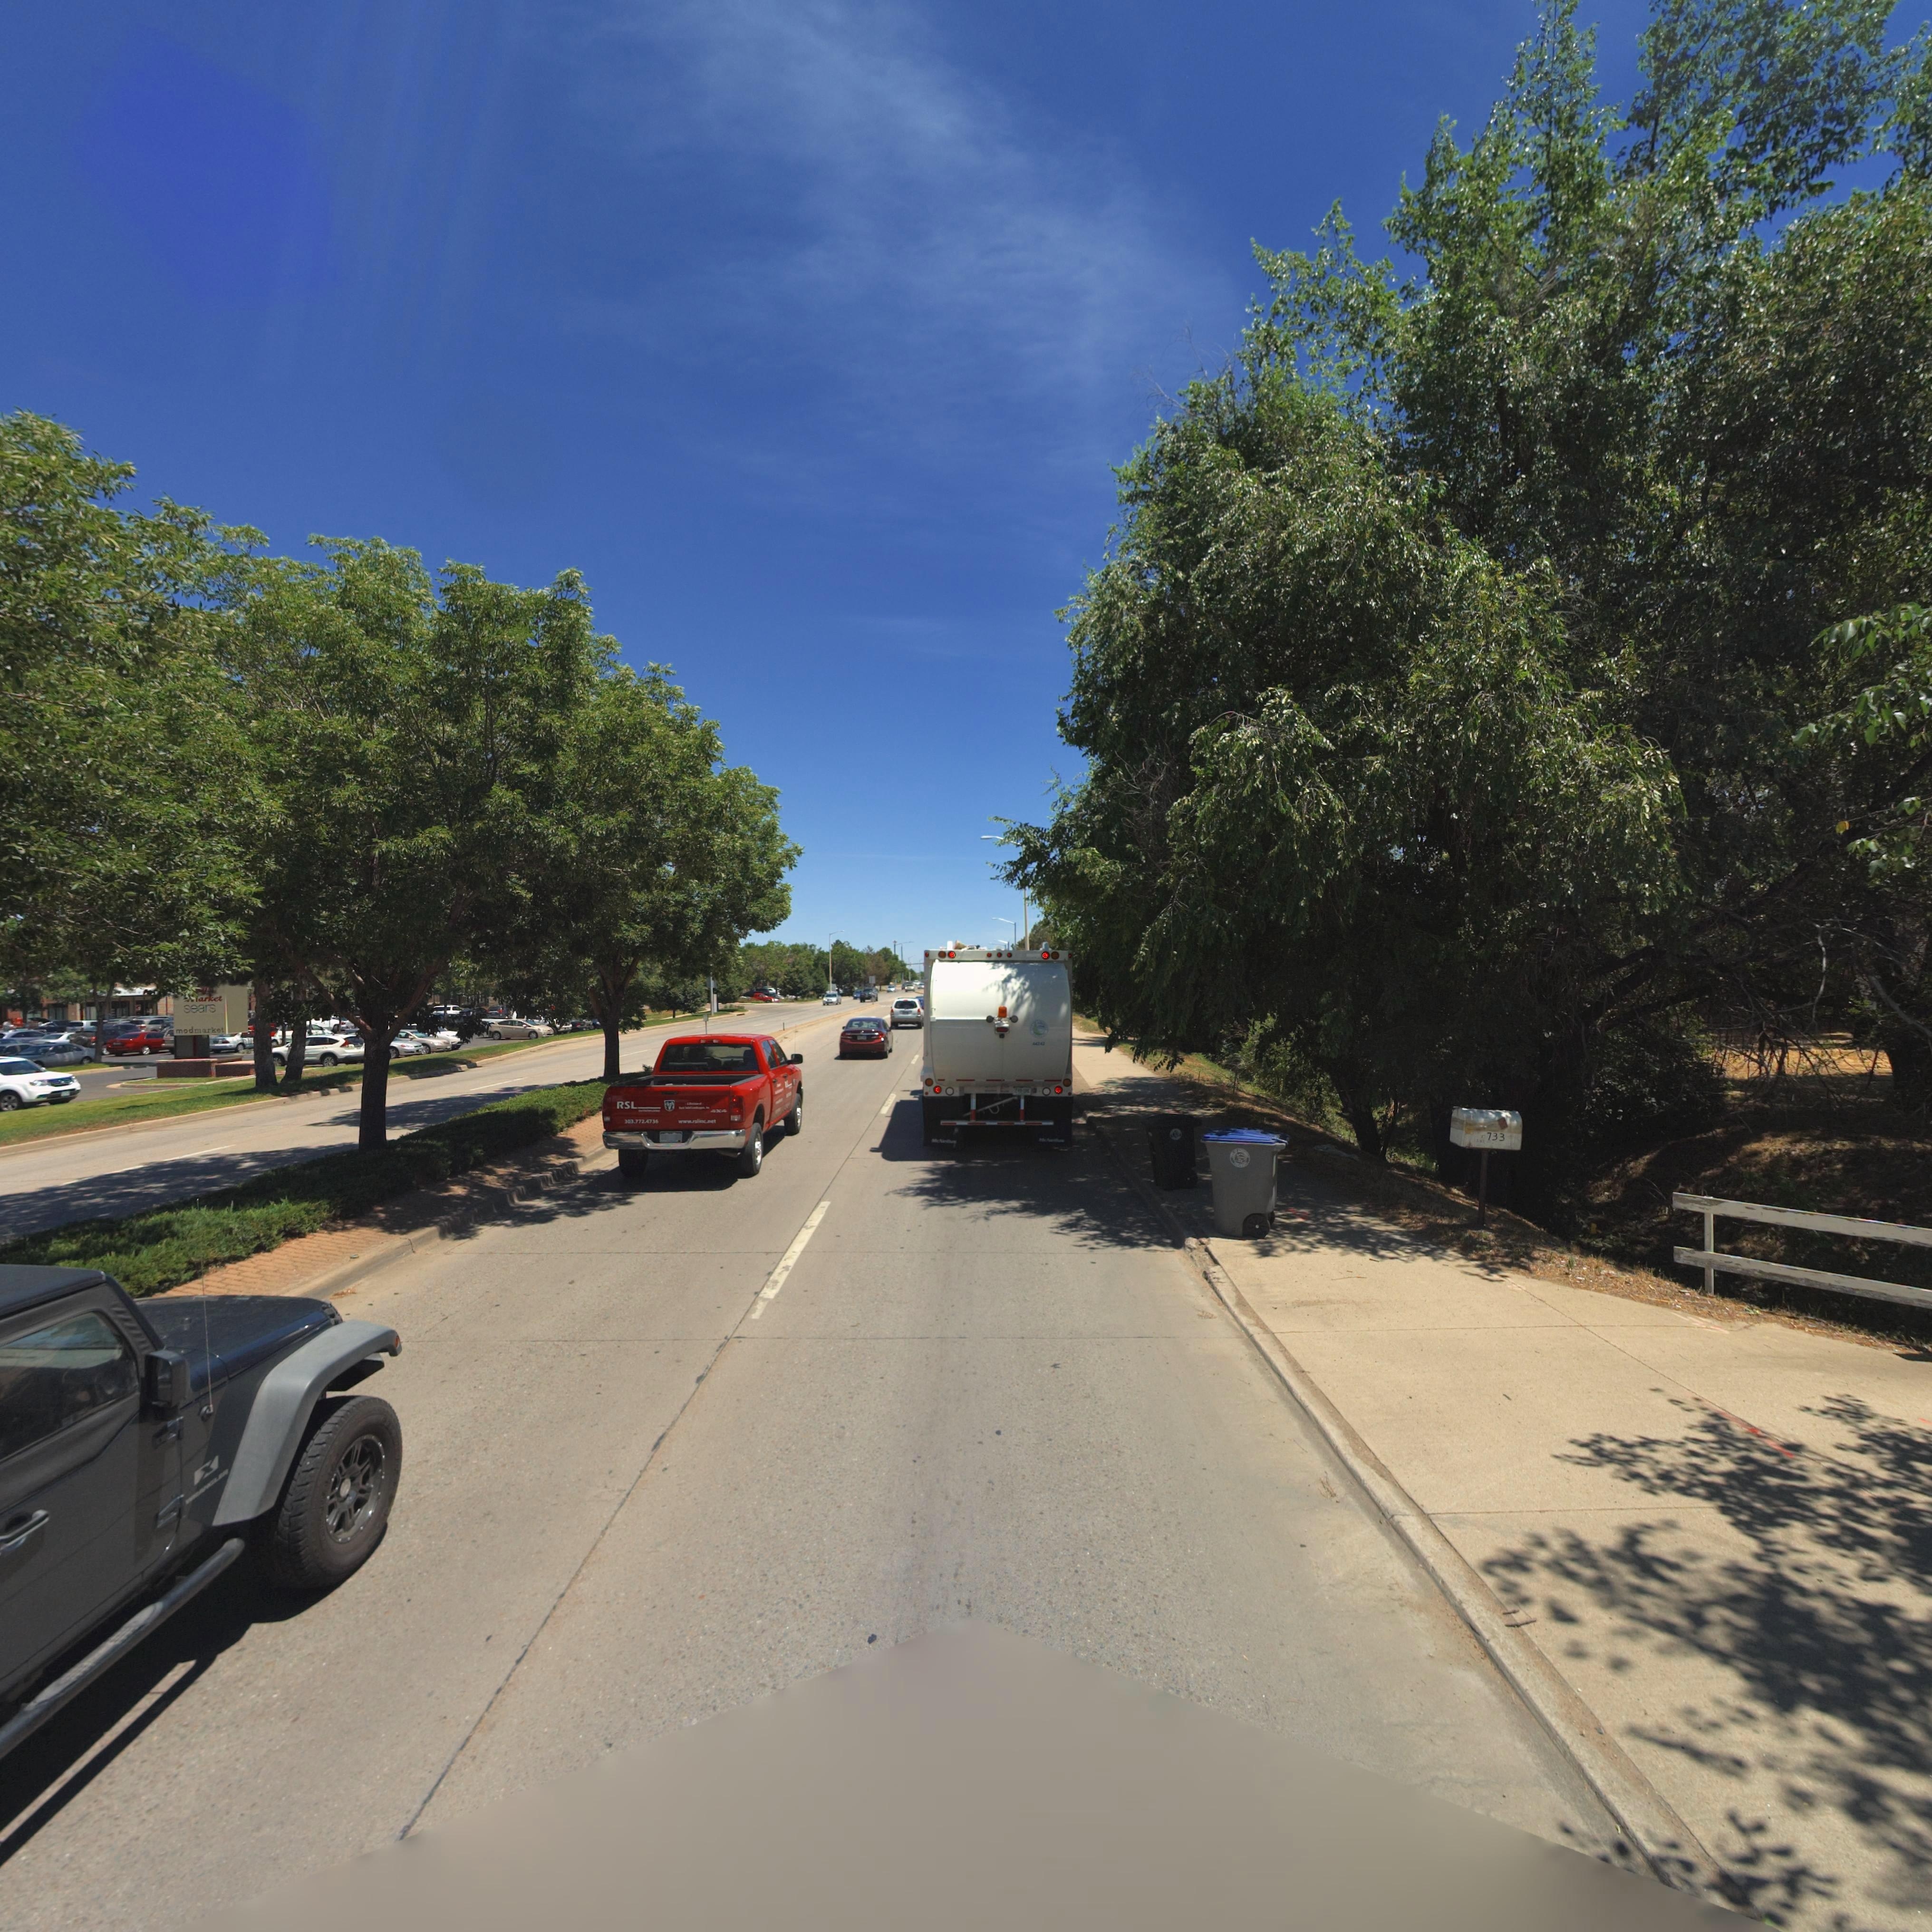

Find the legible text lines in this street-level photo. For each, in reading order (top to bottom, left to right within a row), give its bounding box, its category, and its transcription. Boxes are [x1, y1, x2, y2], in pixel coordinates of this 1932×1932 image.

[193, 995, 222, 1002] BusinessName: *arket
[183, 1003, 216, 1014] BusinessName: sears
[175, 1025, 224, 1034] BusinessName: modmarket
[1486, 1131, 1505, 1142] StreetNumber: 733